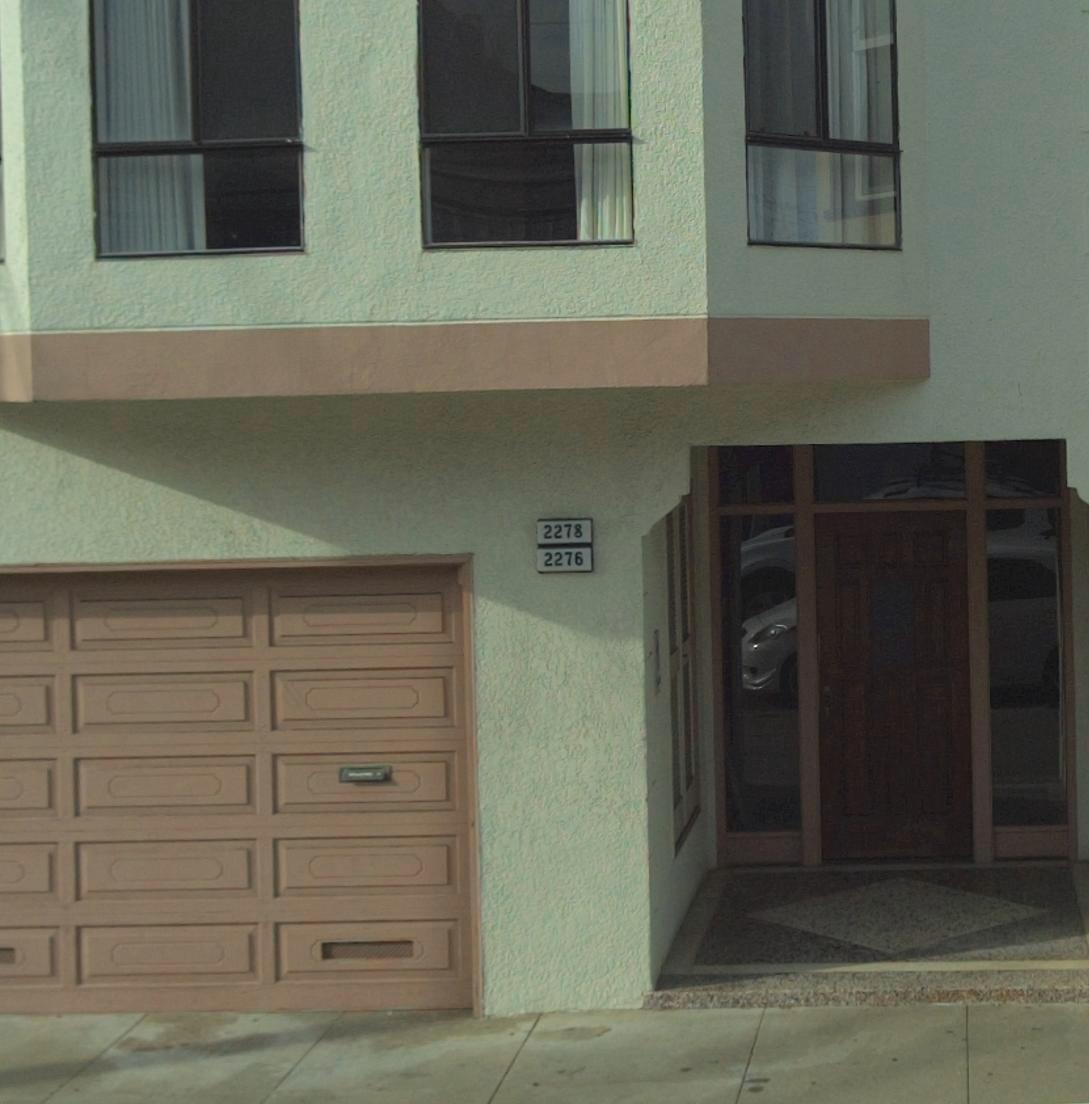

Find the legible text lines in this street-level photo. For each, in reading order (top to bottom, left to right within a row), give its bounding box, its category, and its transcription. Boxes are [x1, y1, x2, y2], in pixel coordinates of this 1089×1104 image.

[541, 522, 585, 541] StreetNumber: 2278
[542, 549, 586, 569] StreetNumber: 2276